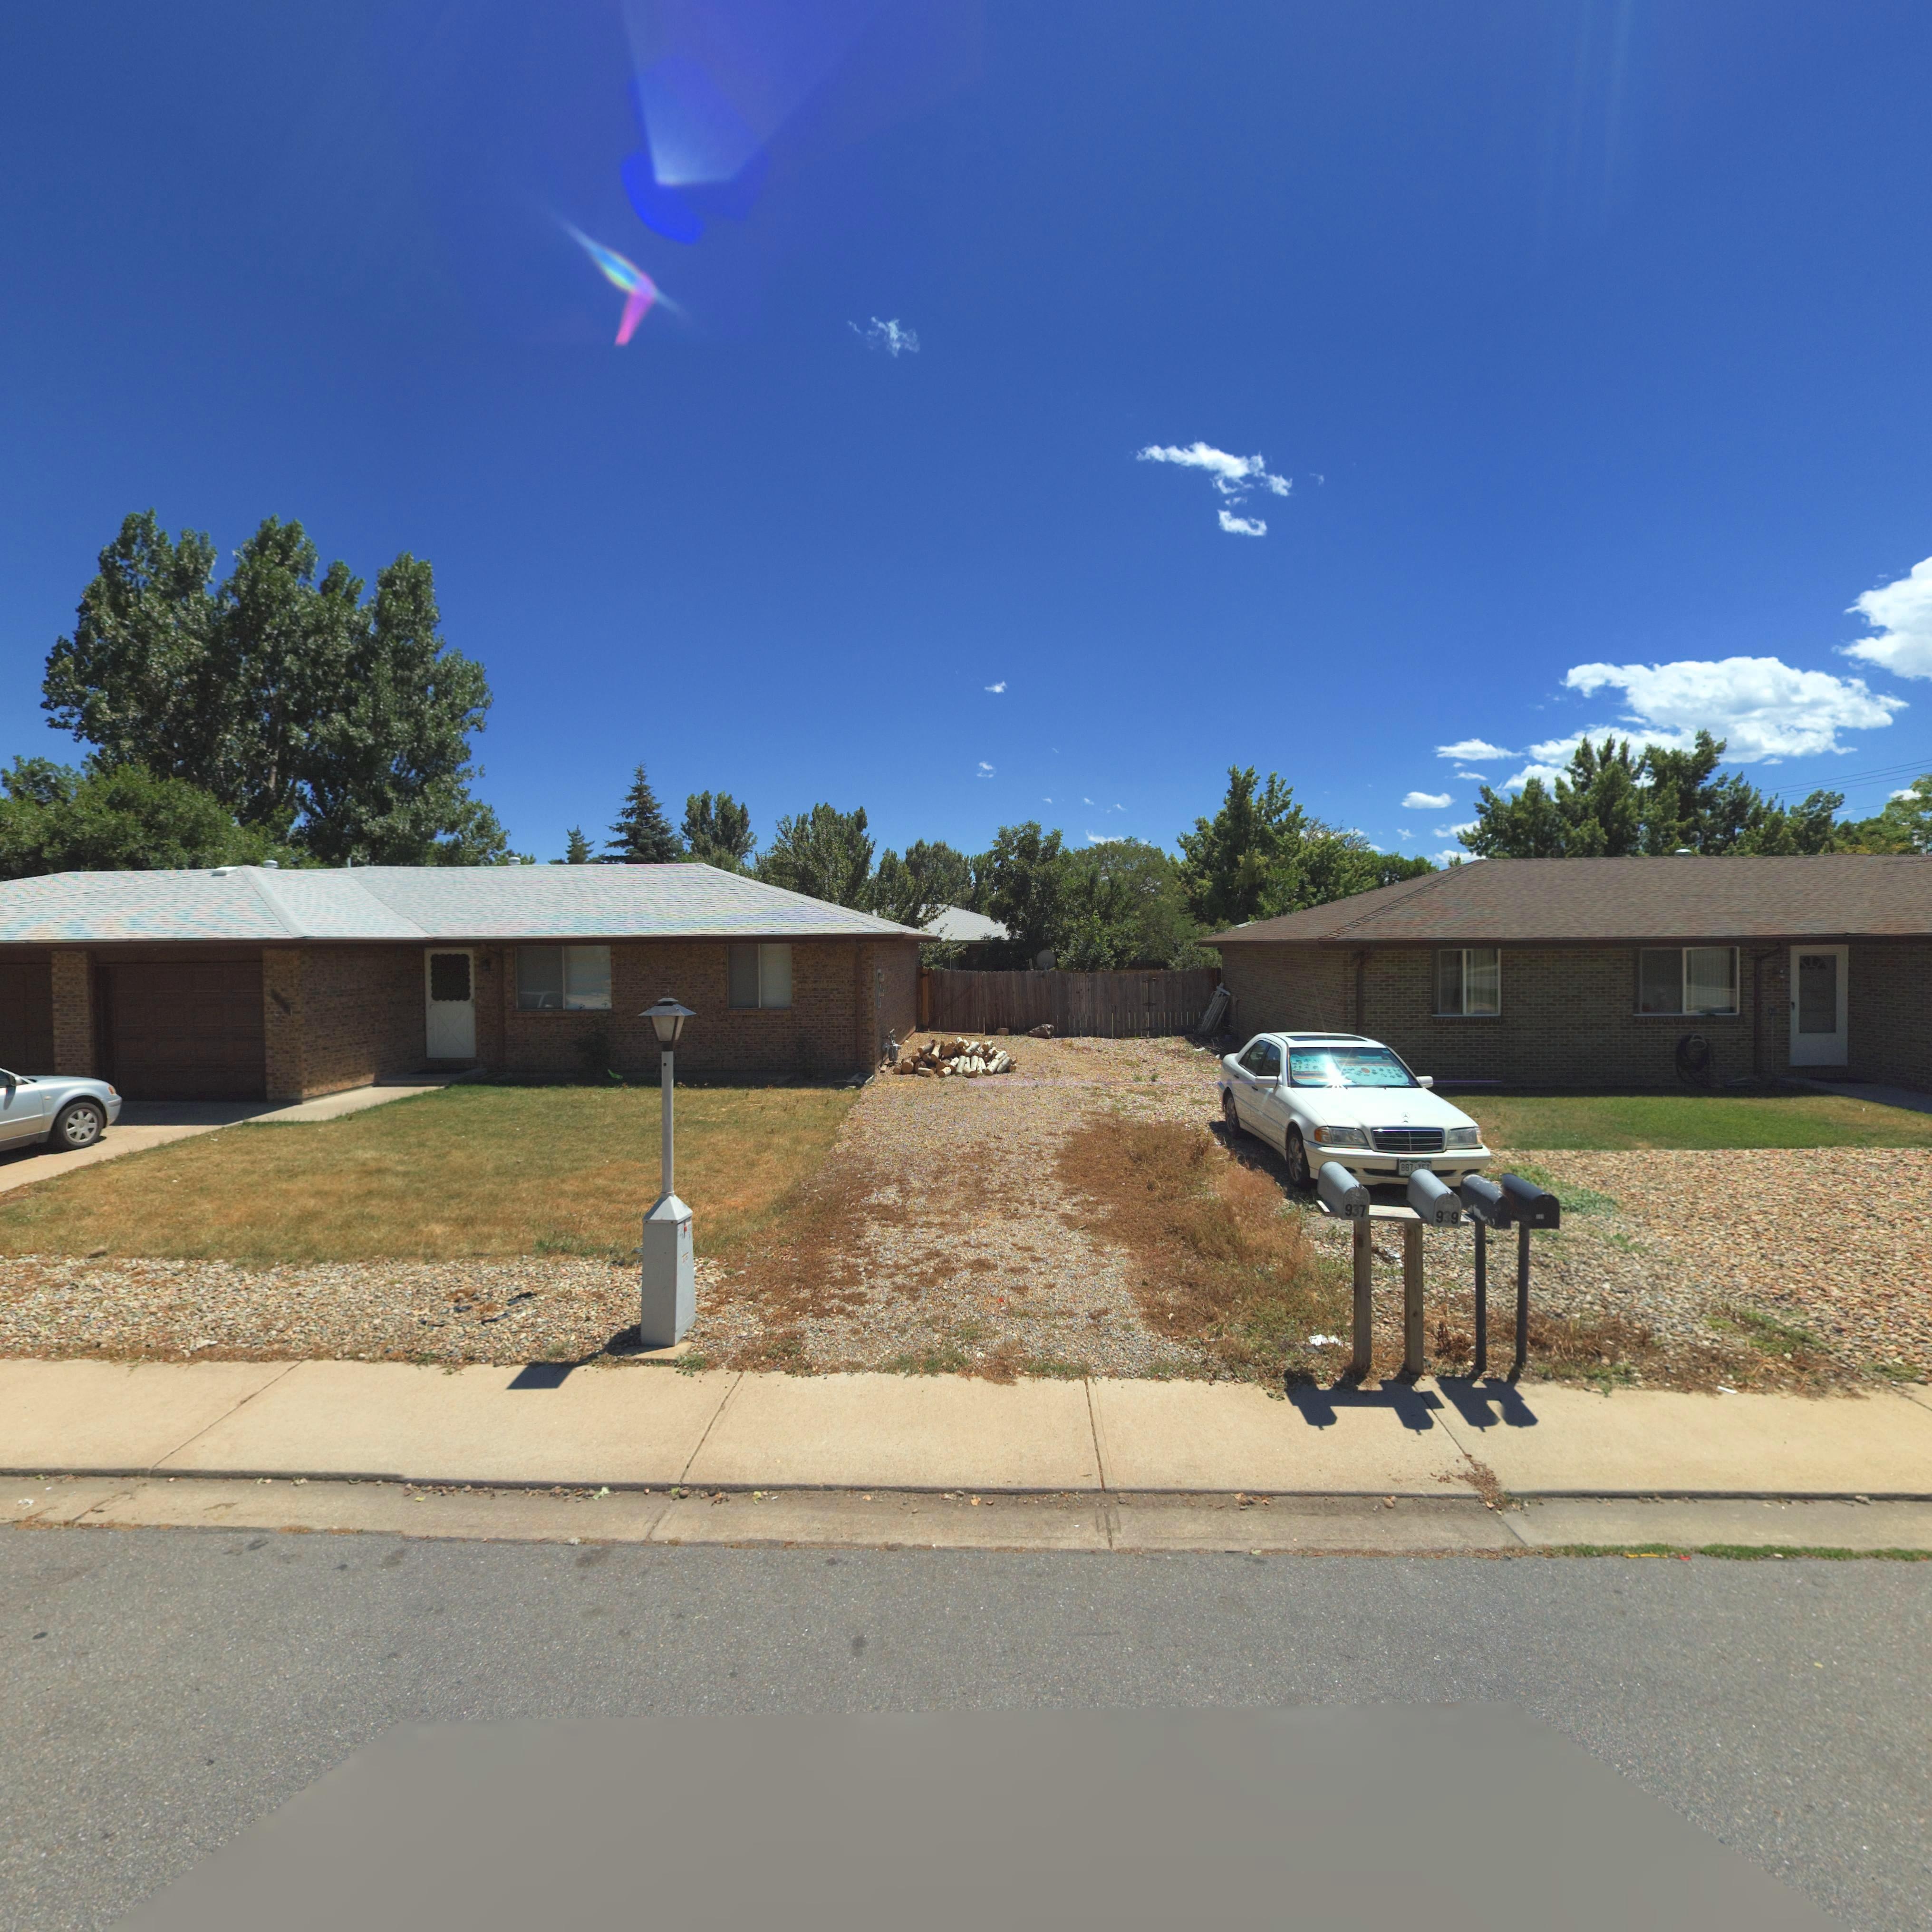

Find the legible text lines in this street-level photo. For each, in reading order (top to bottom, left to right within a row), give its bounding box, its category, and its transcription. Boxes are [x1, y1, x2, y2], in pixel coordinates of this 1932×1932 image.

[1344, 1203, 1366, 1217] StreetNumber: 937
[1435, 1209, 1459, 1224] StreetNumber: 939